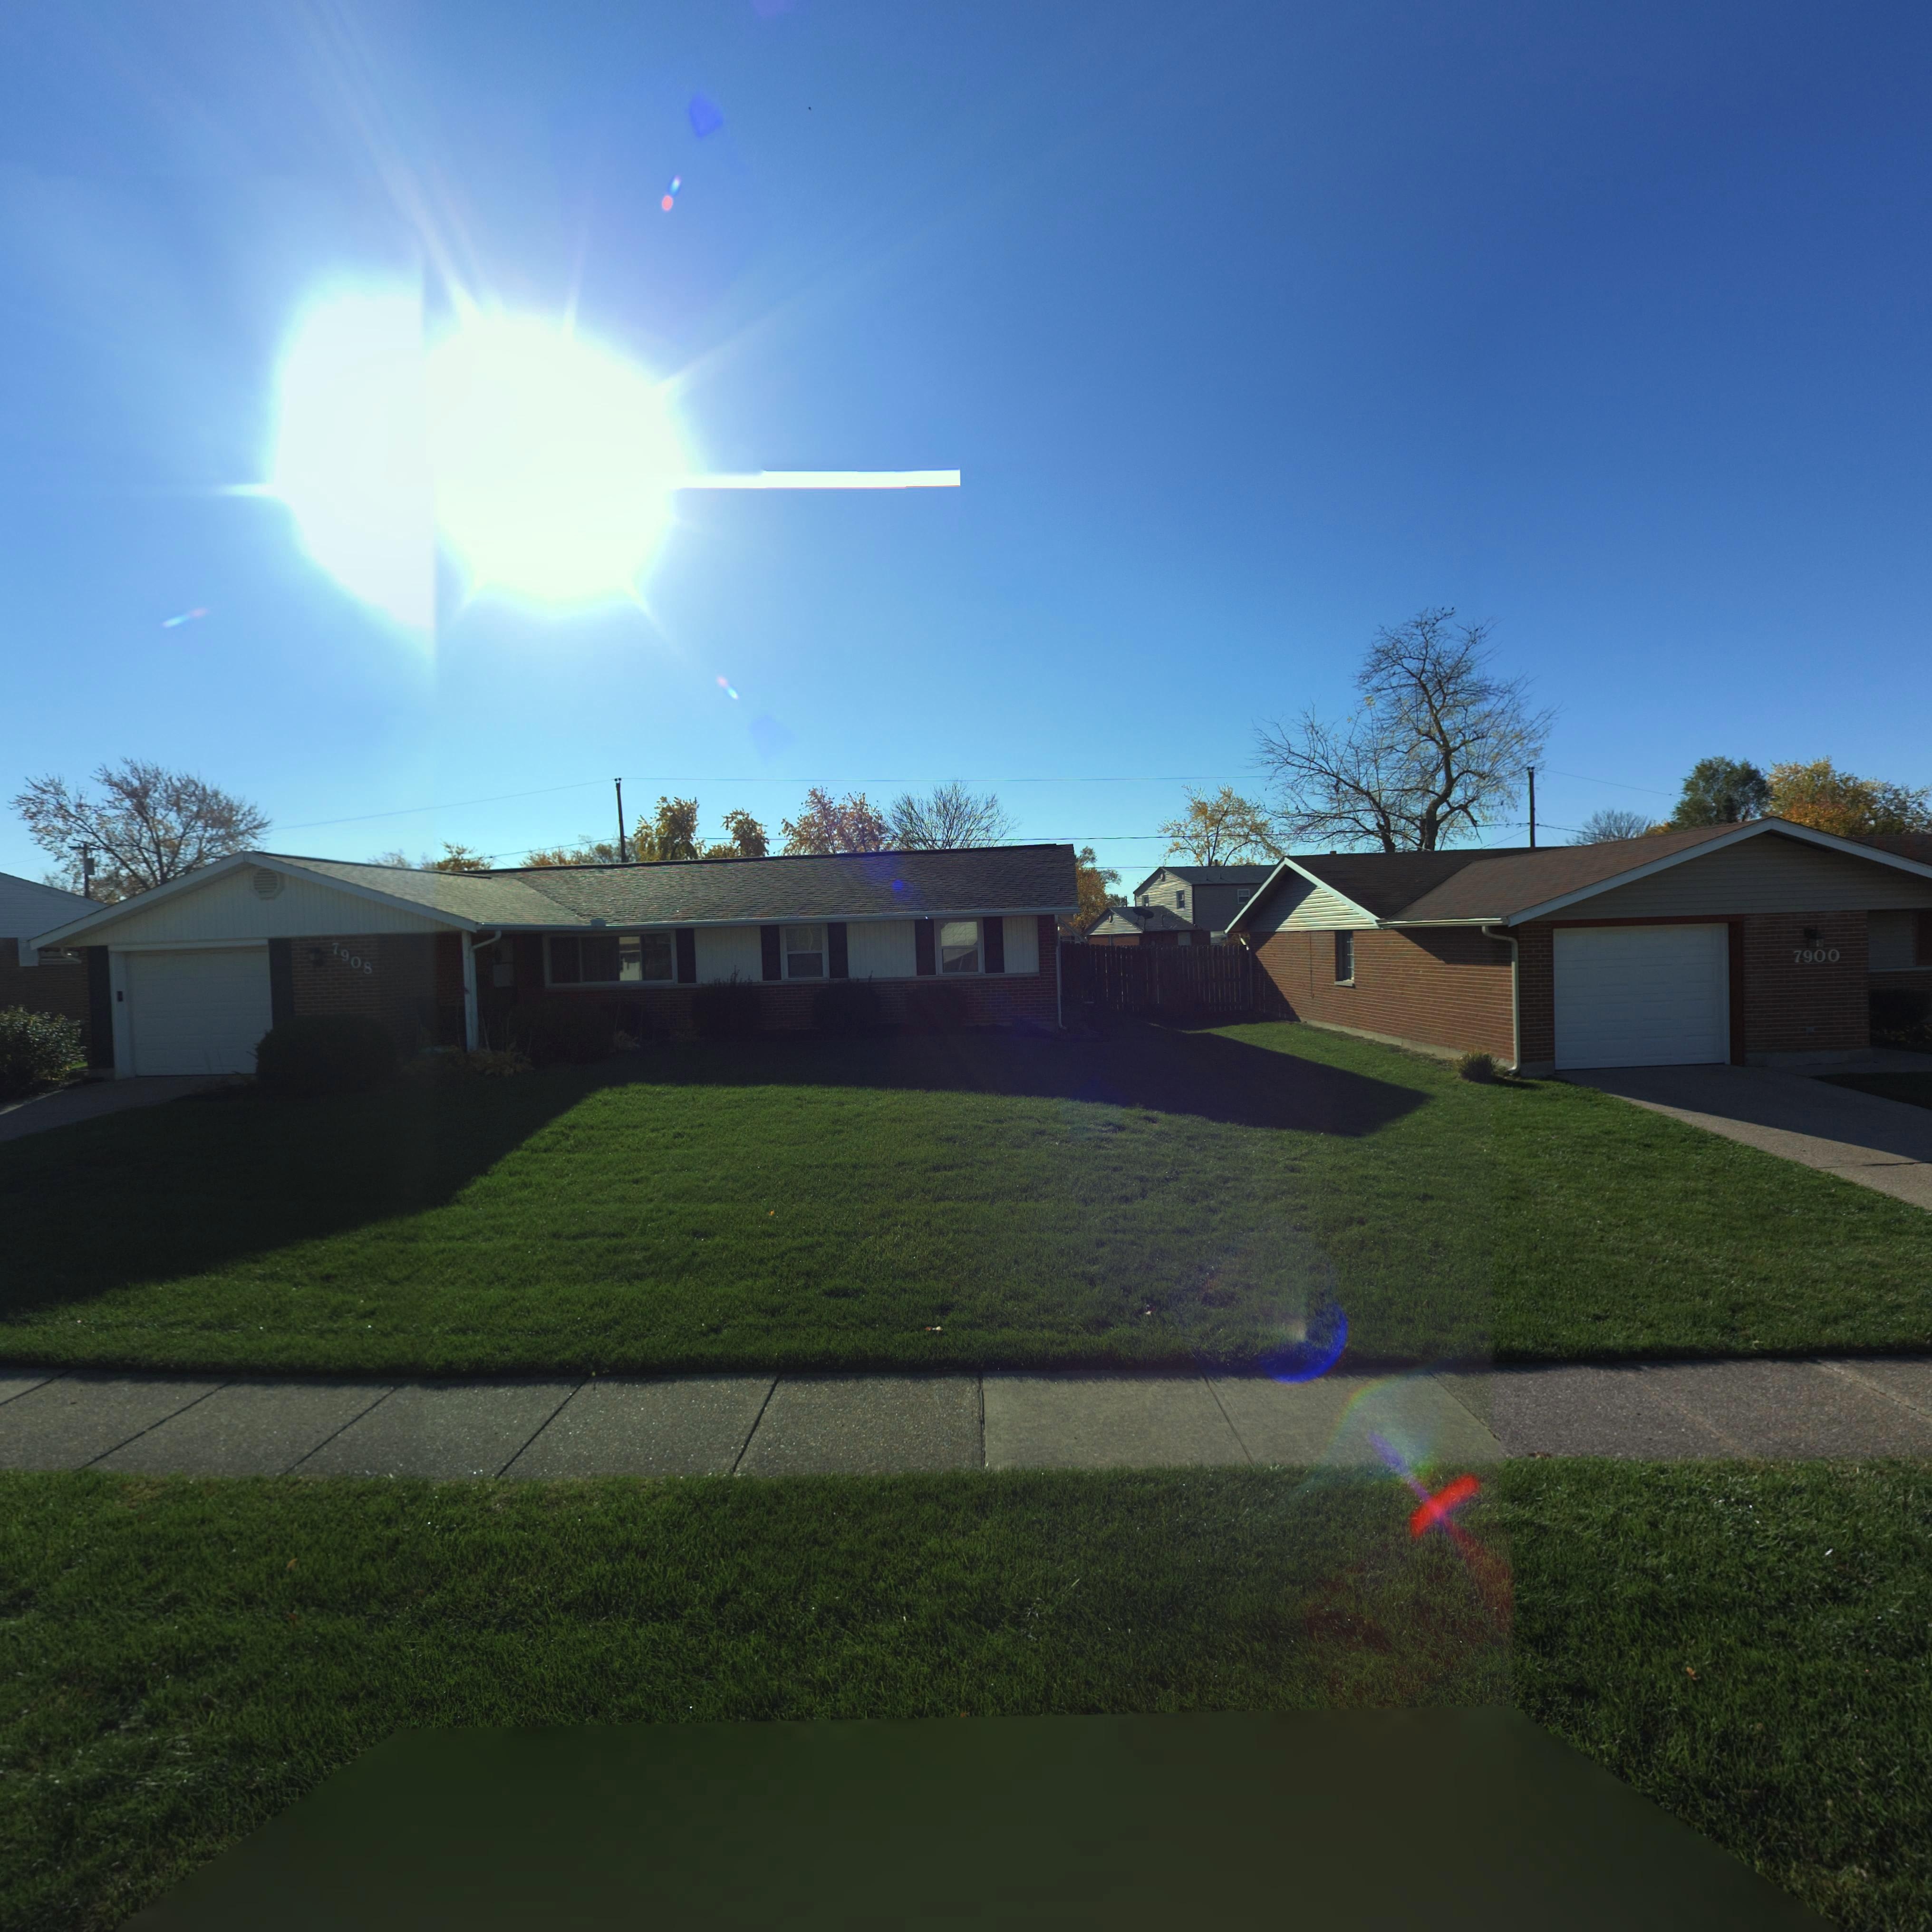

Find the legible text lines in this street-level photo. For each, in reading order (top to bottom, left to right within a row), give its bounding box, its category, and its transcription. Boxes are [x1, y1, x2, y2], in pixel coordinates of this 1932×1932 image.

[331, 942, 373, 976] StreetNumber: 7908
[1792, 948, 1841, 963] StreetNumber: 7900